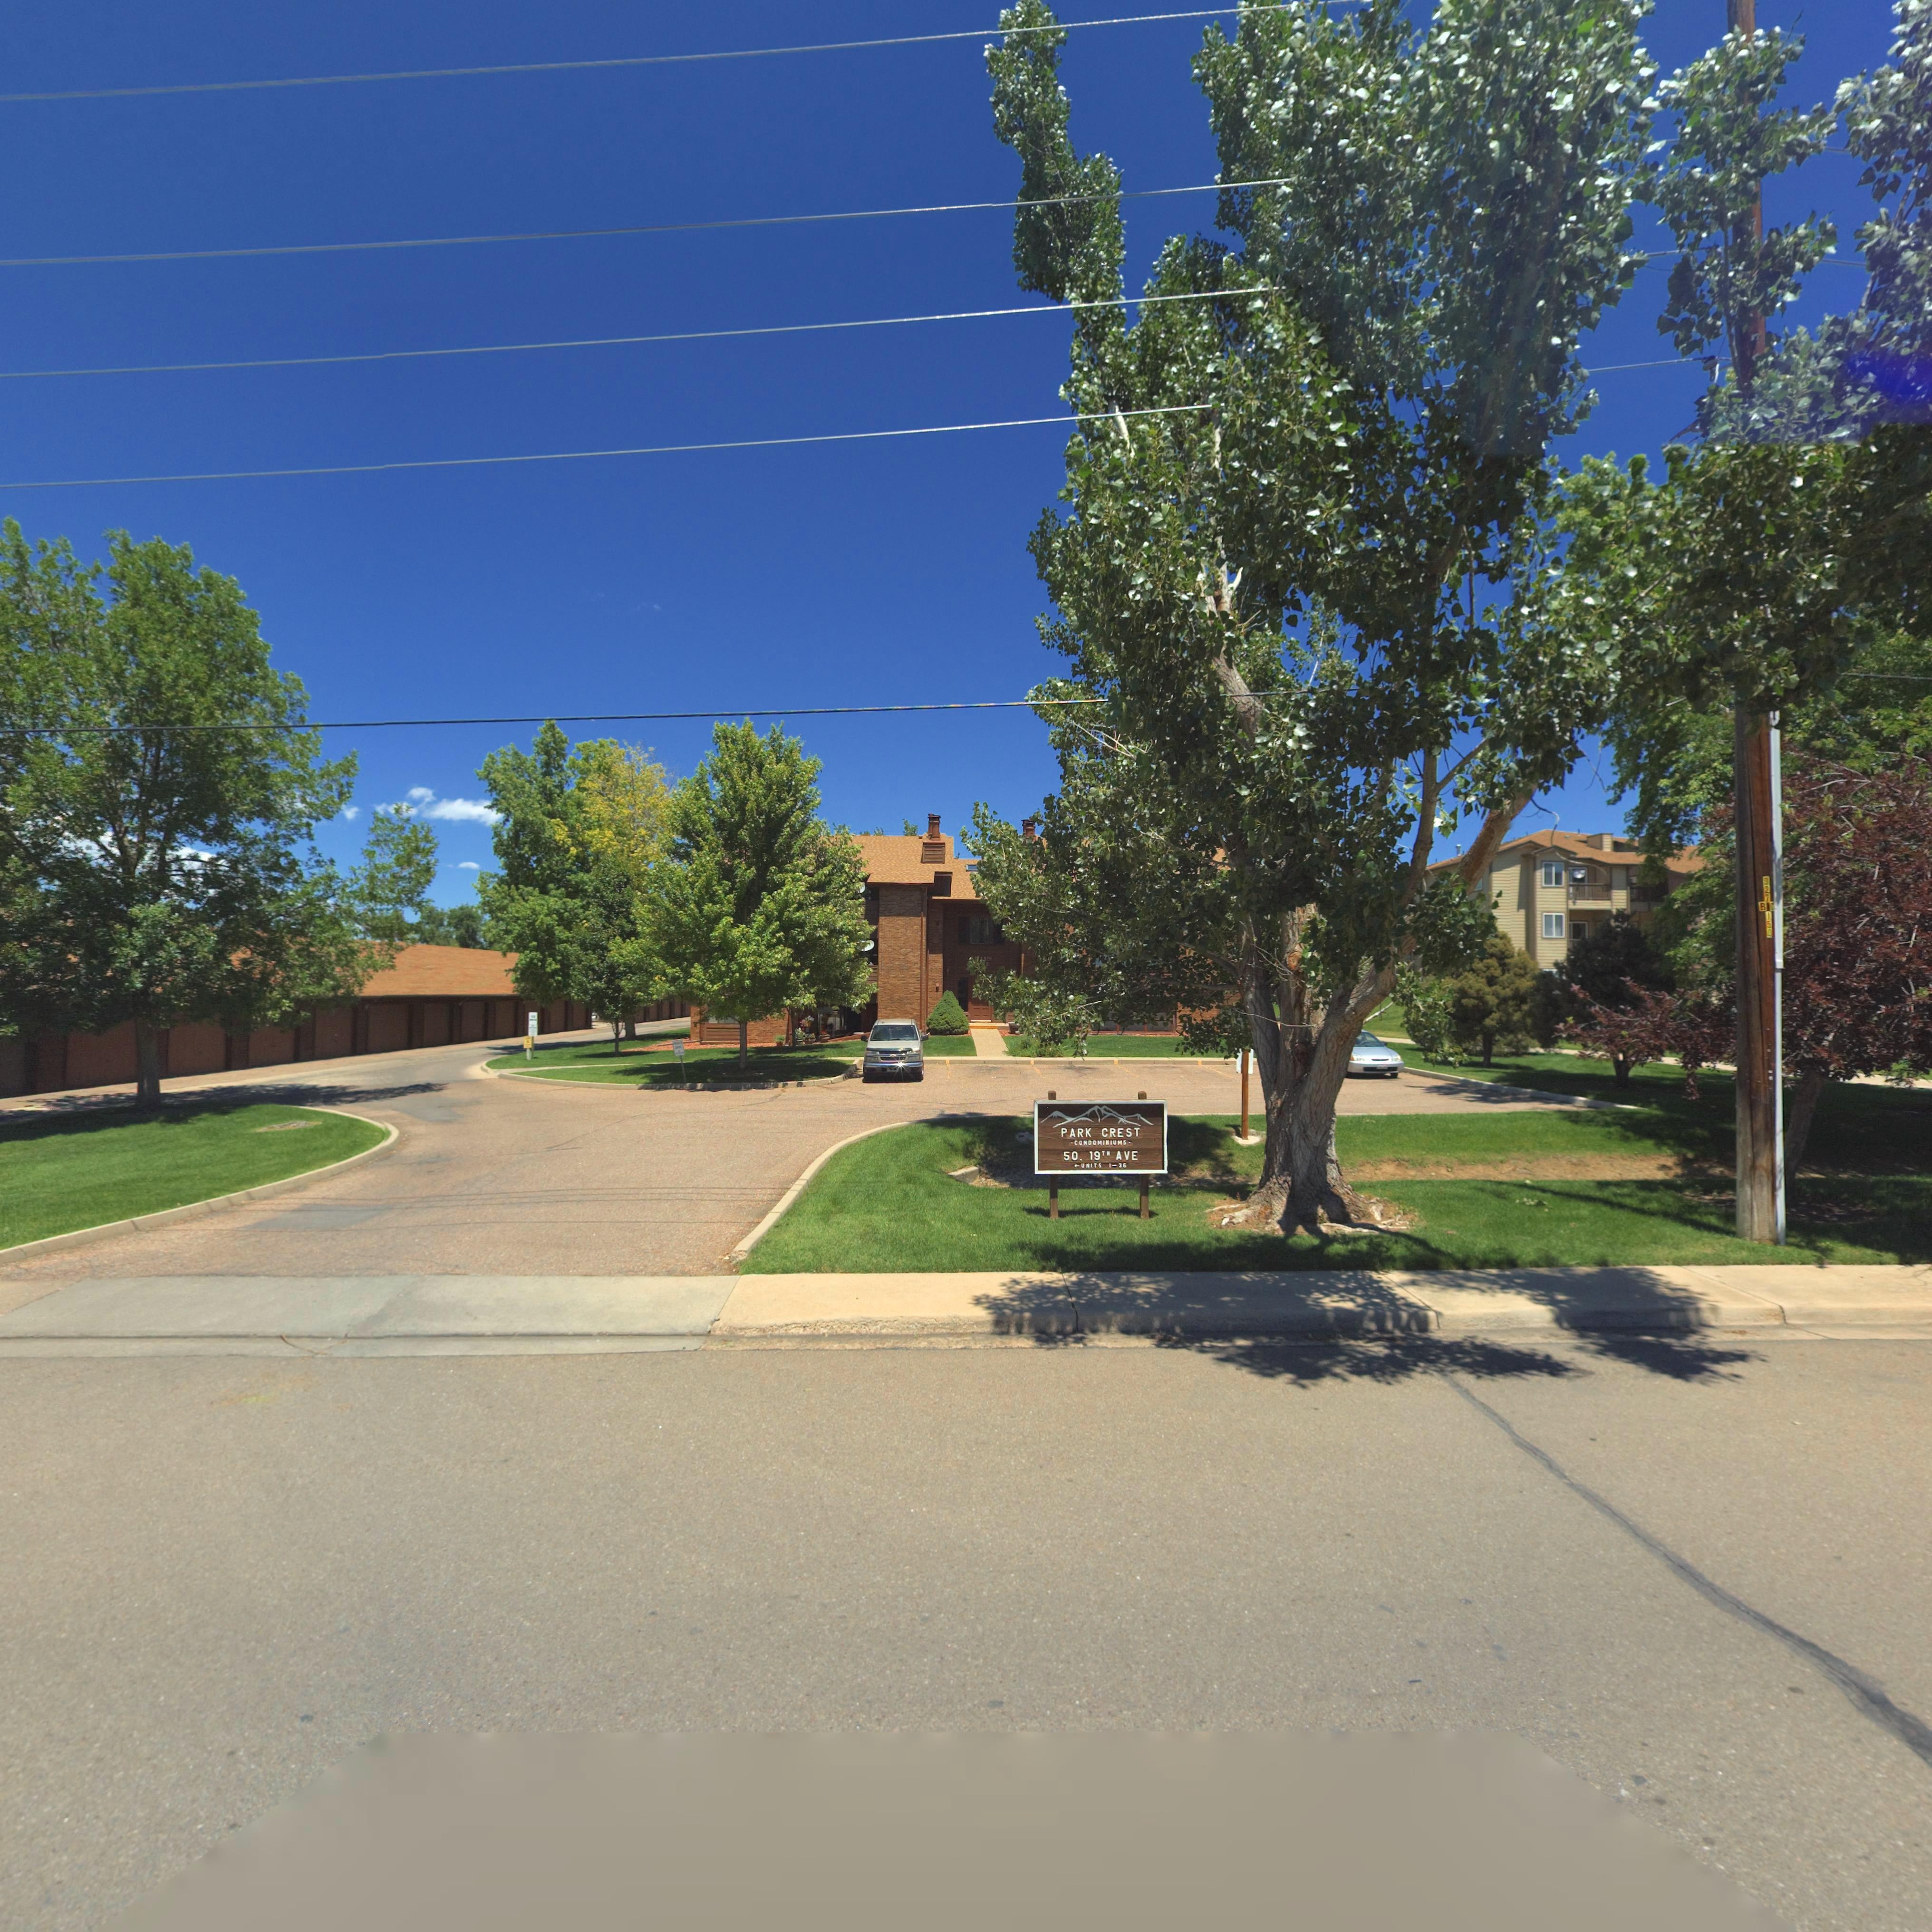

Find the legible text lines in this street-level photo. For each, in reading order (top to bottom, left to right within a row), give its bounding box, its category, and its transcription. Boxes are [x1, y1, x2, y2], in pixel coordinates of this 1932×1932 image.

[1061, 1127, 1140, 1138] BusinessName: PARK CREST
[1074, 1140, 1126, 1145] BusinessName: CONDOMINIUMS
[1063, 1150, 1078, 1161] StreetNumber: 50
[1088, 1150, 1138, 1160] StreetName: 19TH AVE
[1080, 1162, 1127, 1168] SecondaryUnitDesignator: UNITS 1-36